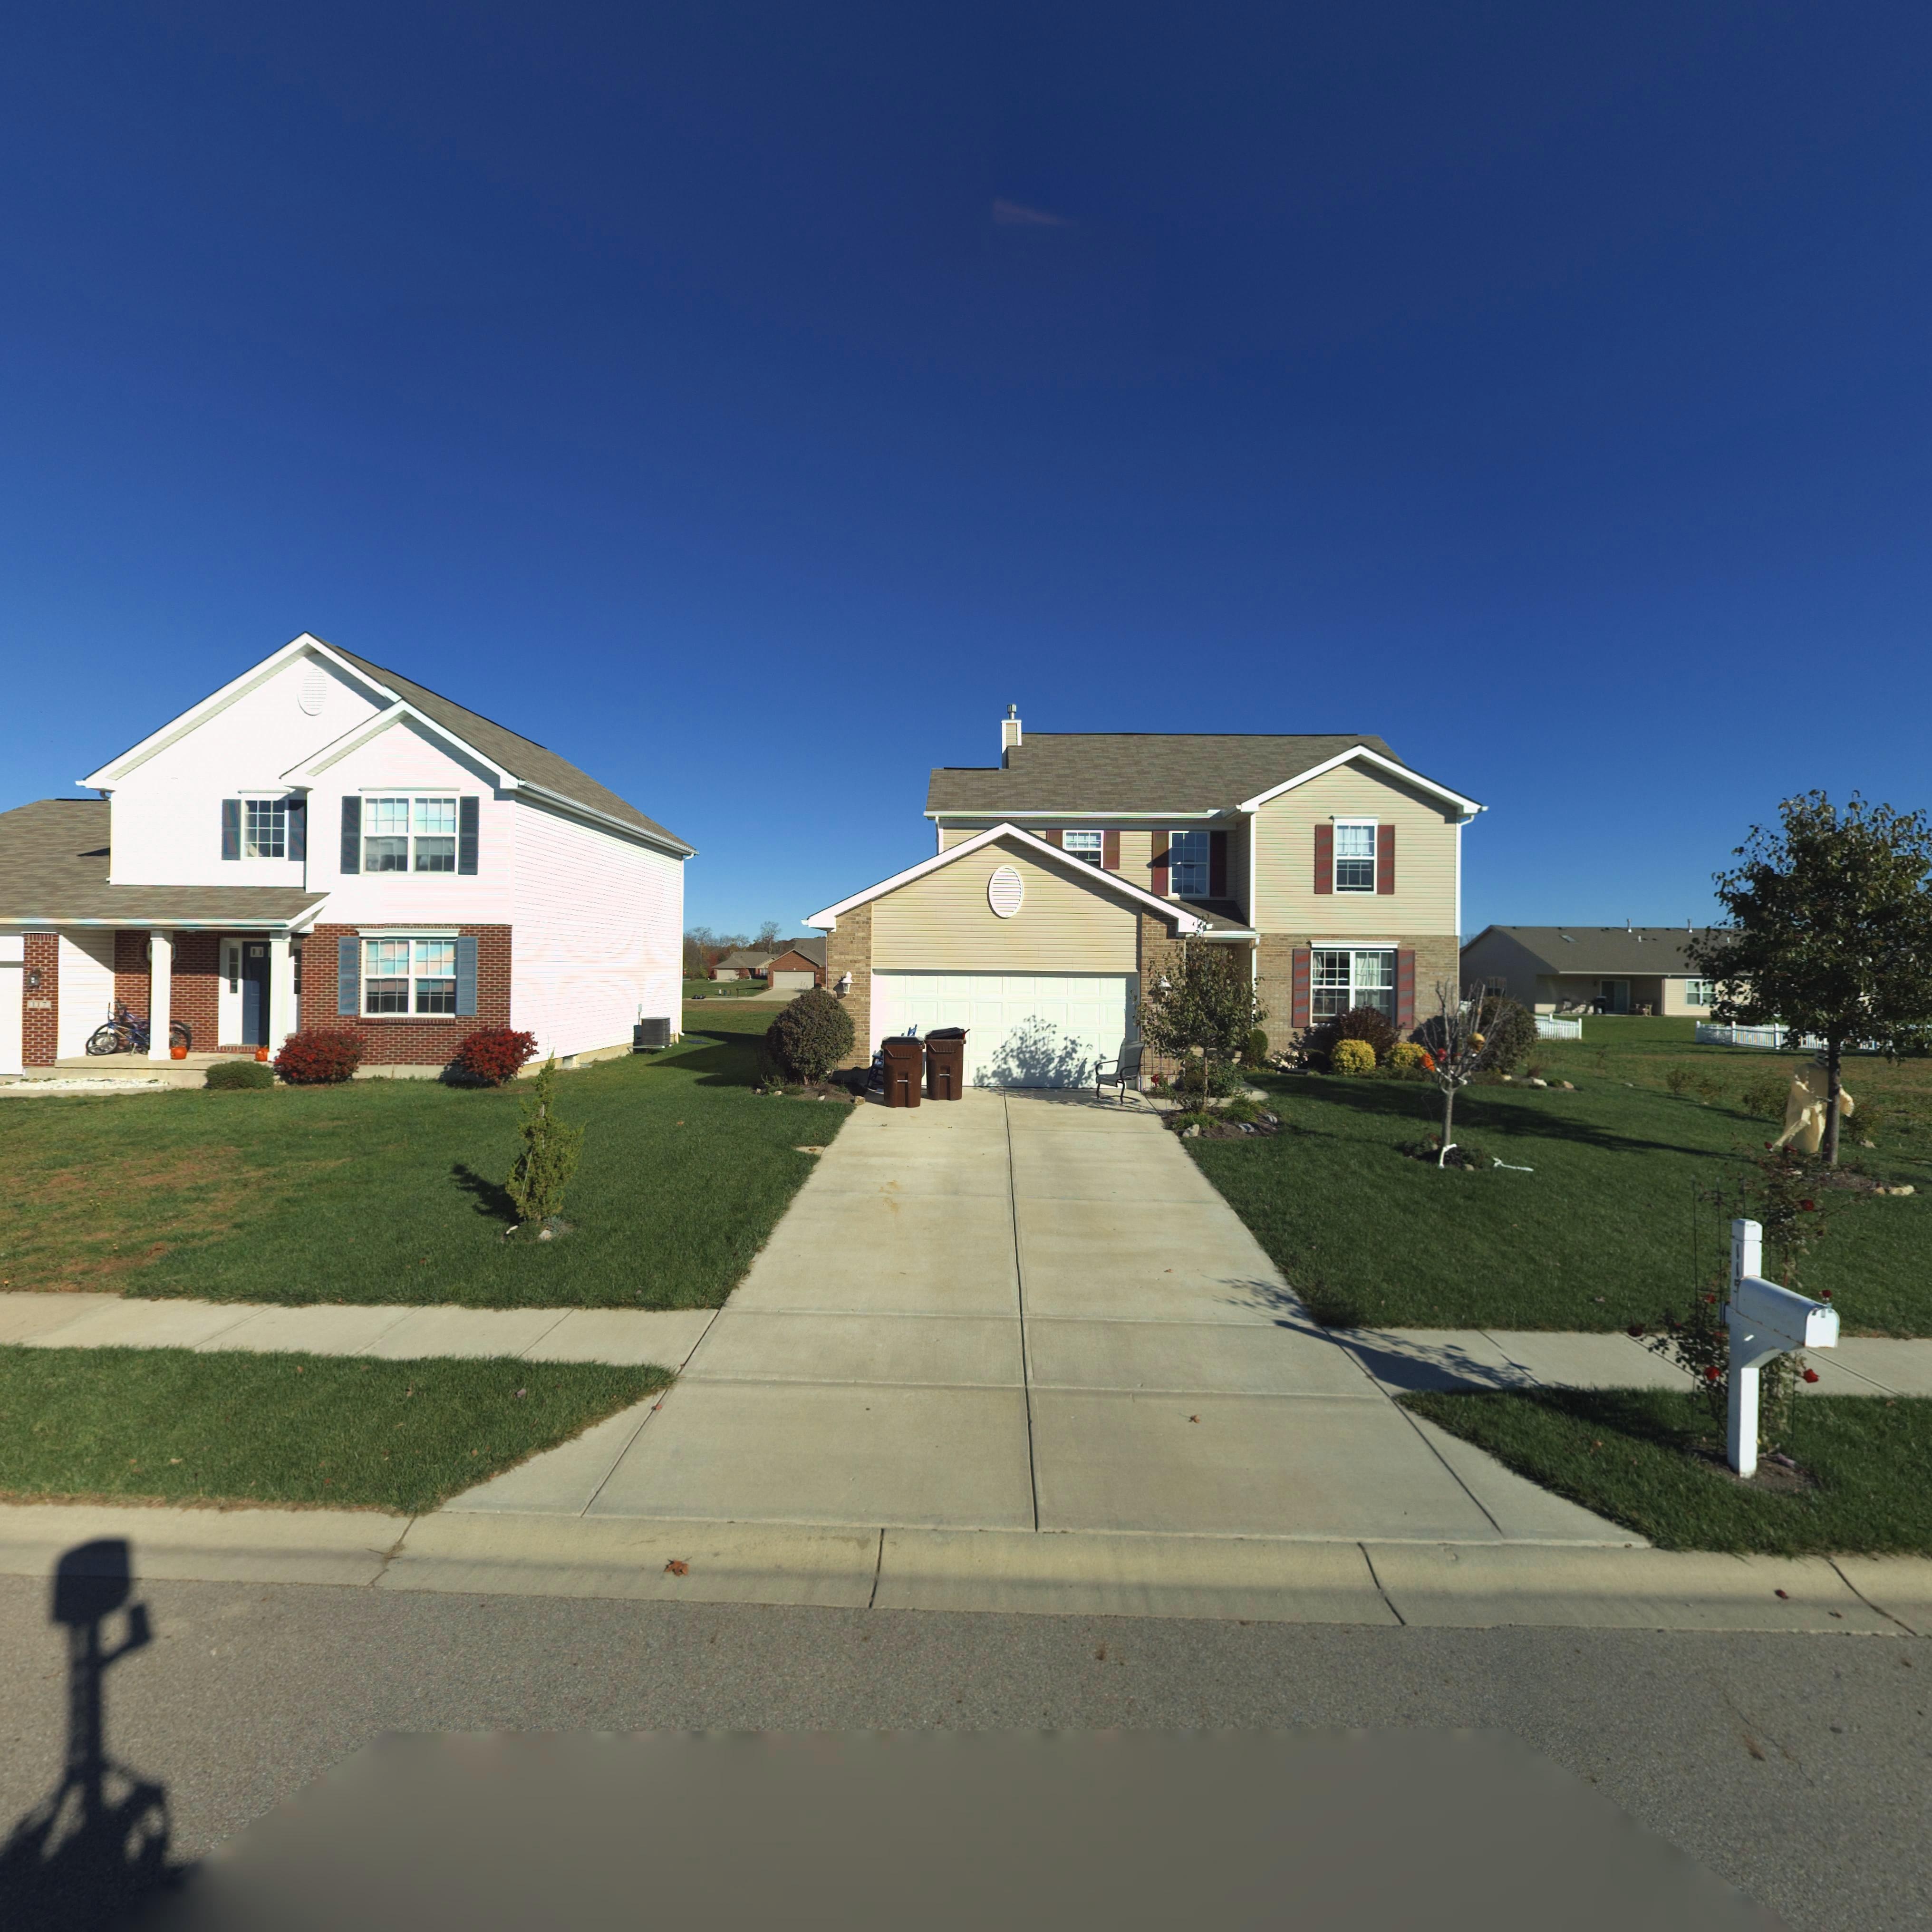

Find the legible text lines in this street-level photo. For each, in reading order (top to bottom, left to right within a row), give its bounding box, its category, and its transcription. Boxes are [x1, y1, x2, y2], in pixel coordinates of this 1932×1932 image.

[31, 1000, 48, 1008] StreetNumber: 117
[1734, 1242, 1741, 1279] StreetNumber: 11